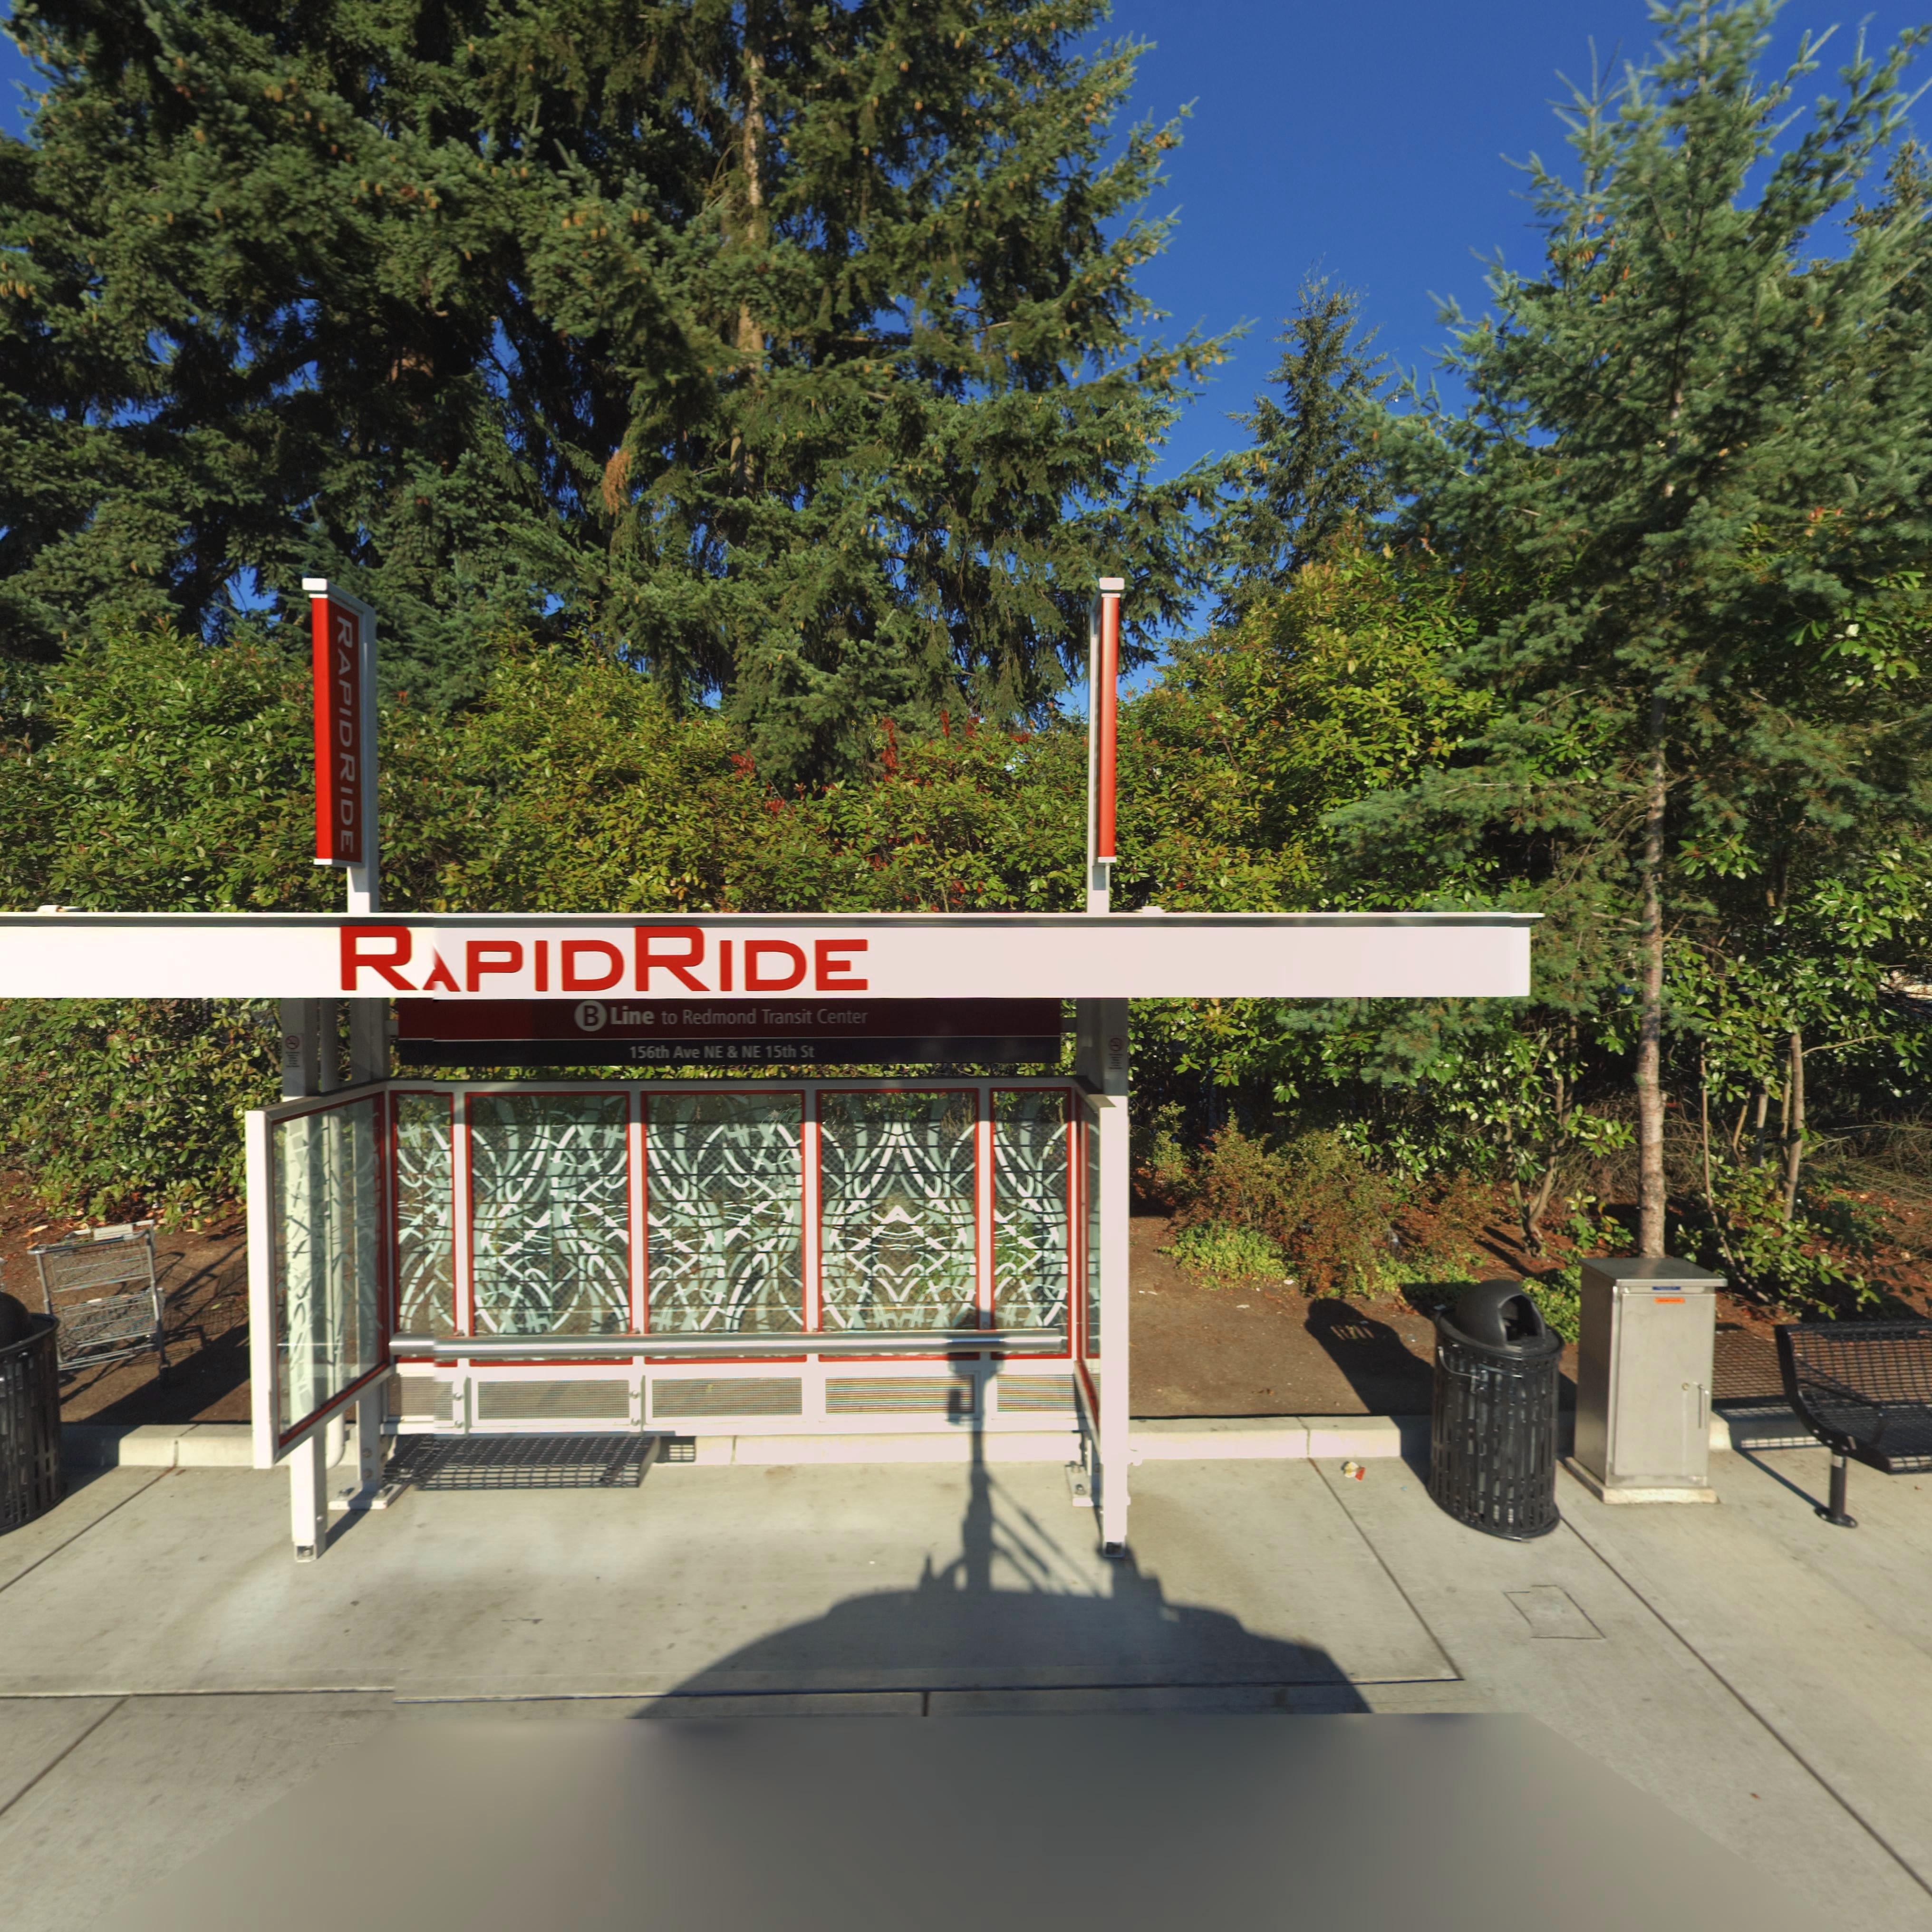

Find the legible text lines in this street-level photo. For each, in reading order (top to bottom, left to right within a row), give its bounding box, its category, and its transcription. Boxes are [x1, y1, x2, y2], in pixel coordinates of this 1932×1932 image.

[628, 1043, 818, 1061] StreetName: 156th Ave NE * NE 15th